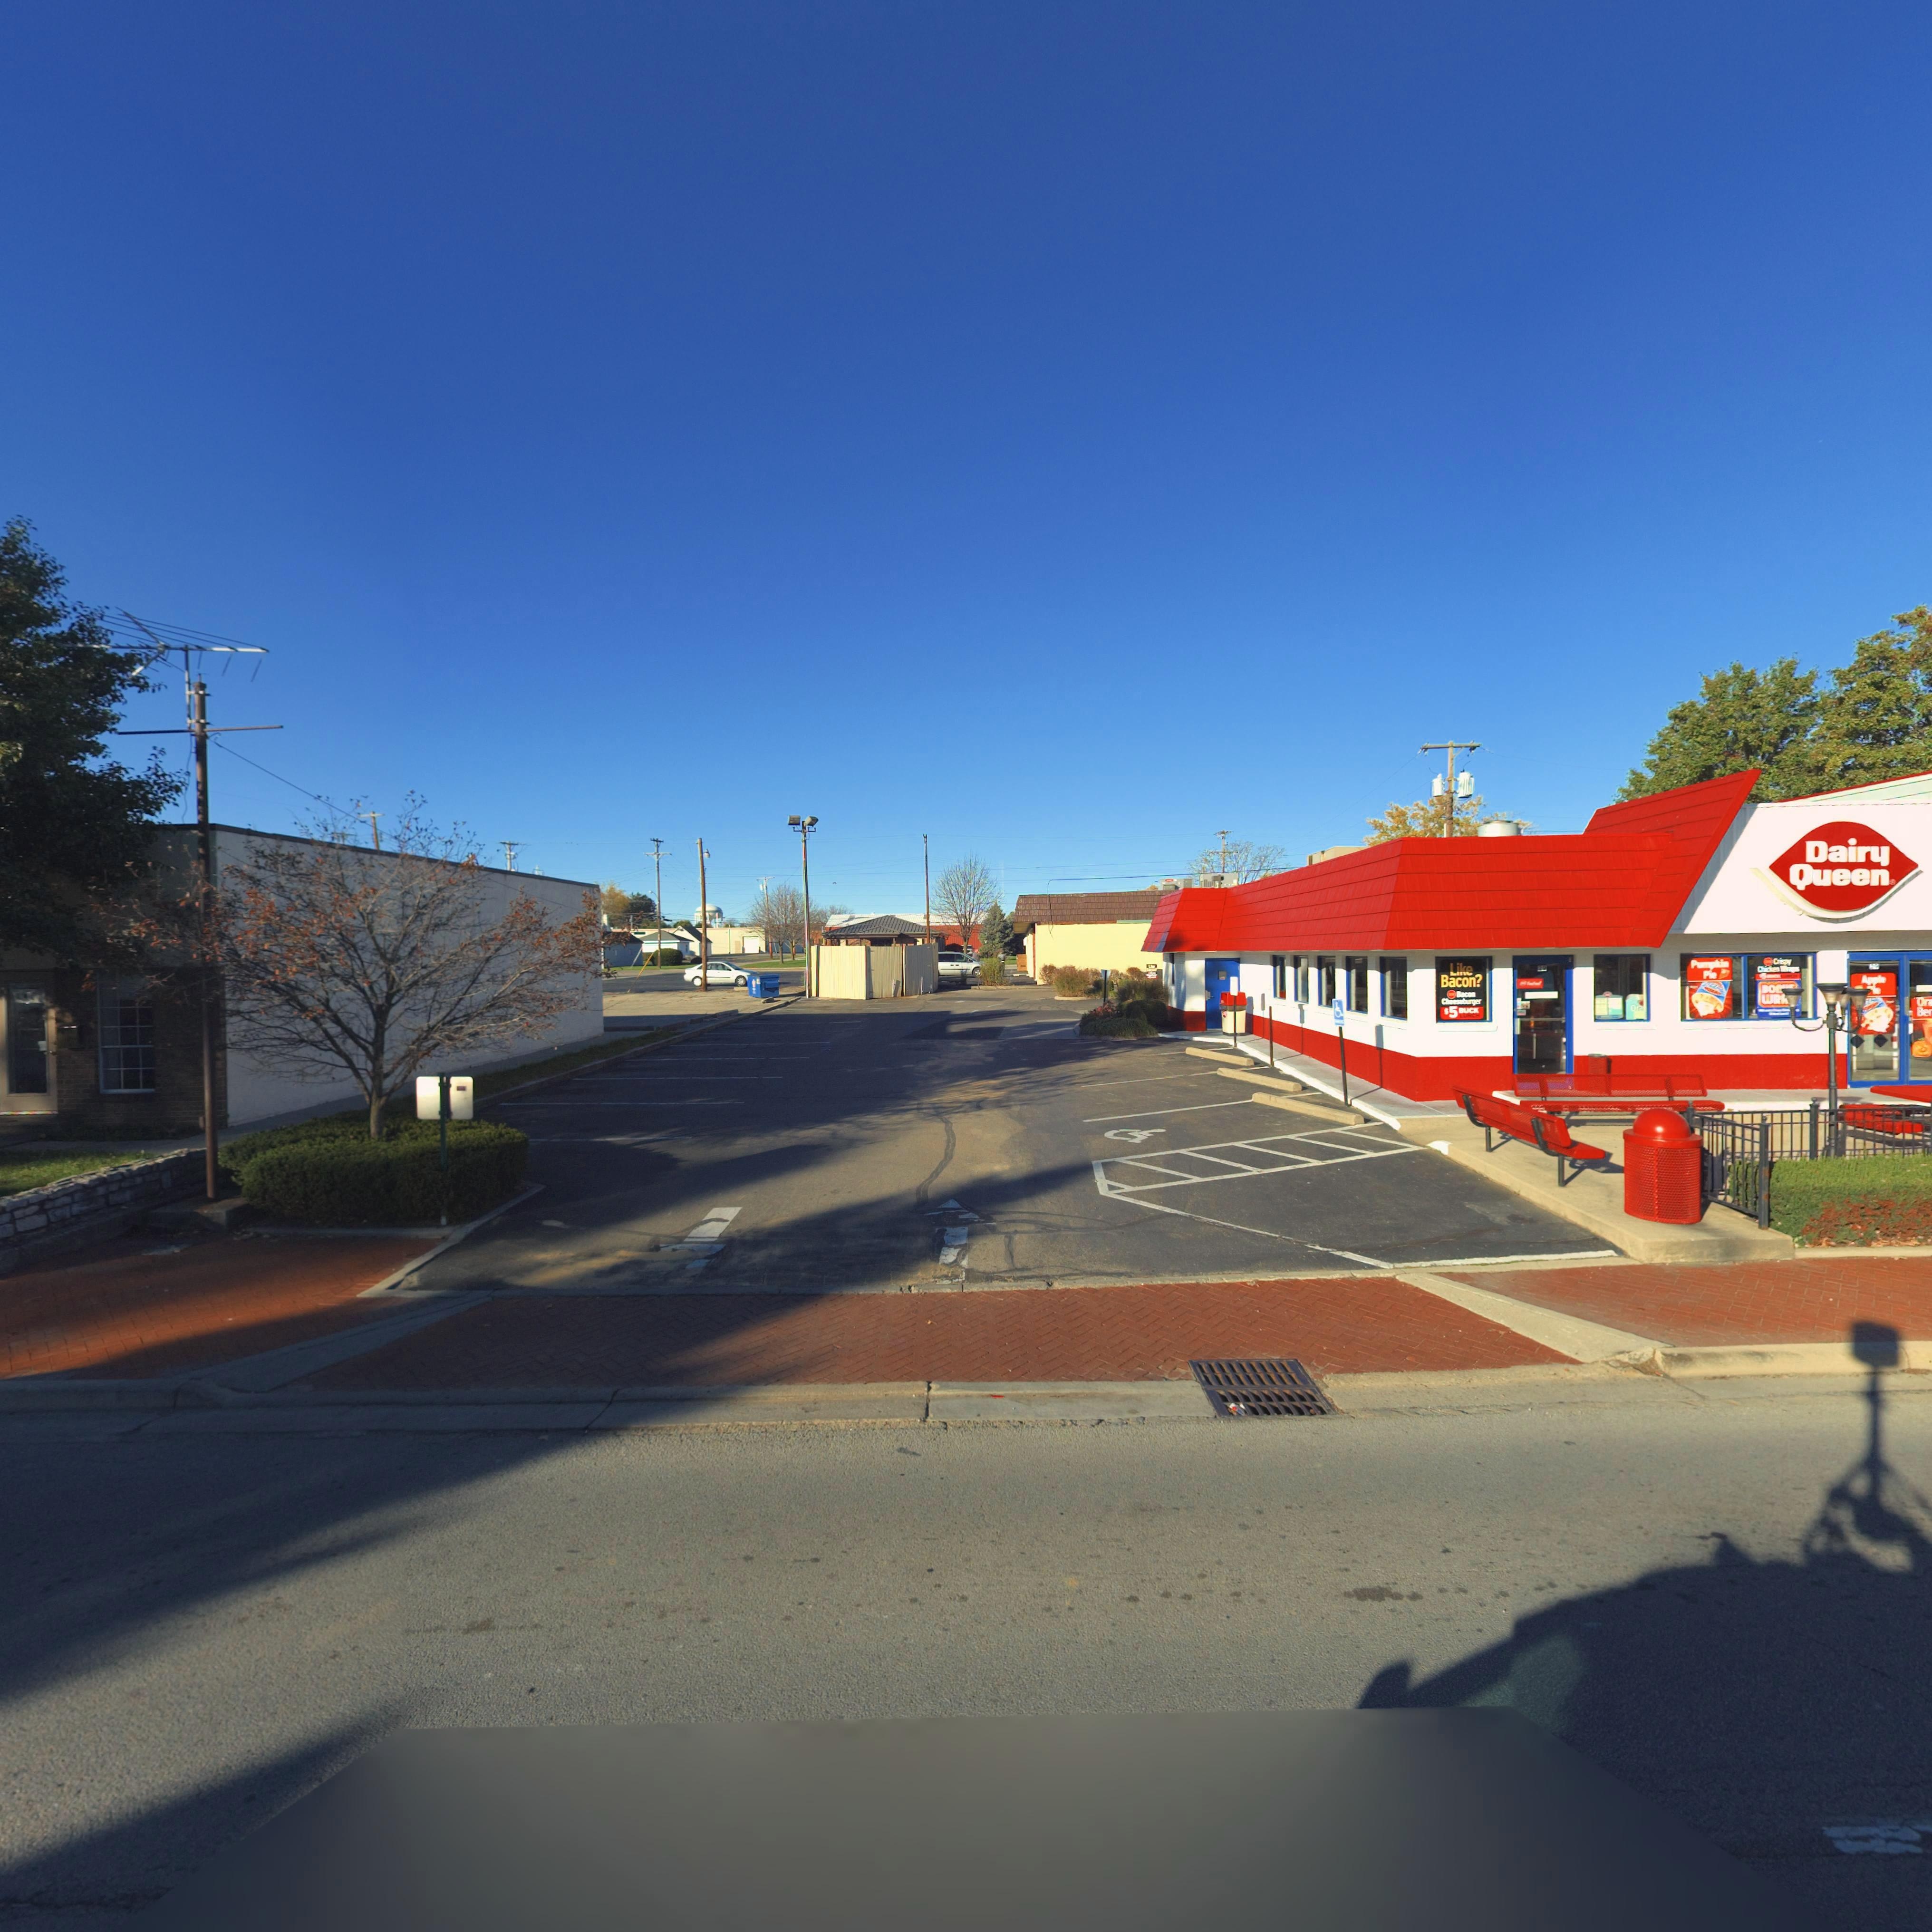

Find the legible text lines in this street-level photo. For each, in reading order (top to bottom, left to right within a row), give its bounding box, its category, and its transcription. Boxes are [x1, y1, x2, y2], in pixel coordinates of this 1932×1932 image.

[1803, 833, 1891, 868] None: Dairy
[1788, 860, 1891, 893] None: Queen
[1448, 960, 1473, 976] None: Like
[1538, 965, 1547, 971] StreetNumber: 29
[1689, 958, 1729, 970] None: P******
[1756, 964, 1801, 973] None: C****** ****
[1772, 957, 1792, 966] None: Crispy
[1438, 973, 1484, 989] None: Bacon?
[1702, 969, 1717, 980] None: Pie
[1859, 973, 1886, 985] None: Apple
[1440, 996, 1482, 1006] None: Cheeseburger
[1455, 990, 1476, 998] None: Bacon
[1760, 992, 1791, 1005] None: W**
[1759, 982, 1796, 994] None: BO***
[1447, 1005, 1458, 1018] None: 5
[1458, 1006, 1479, 1014] None: BUCK